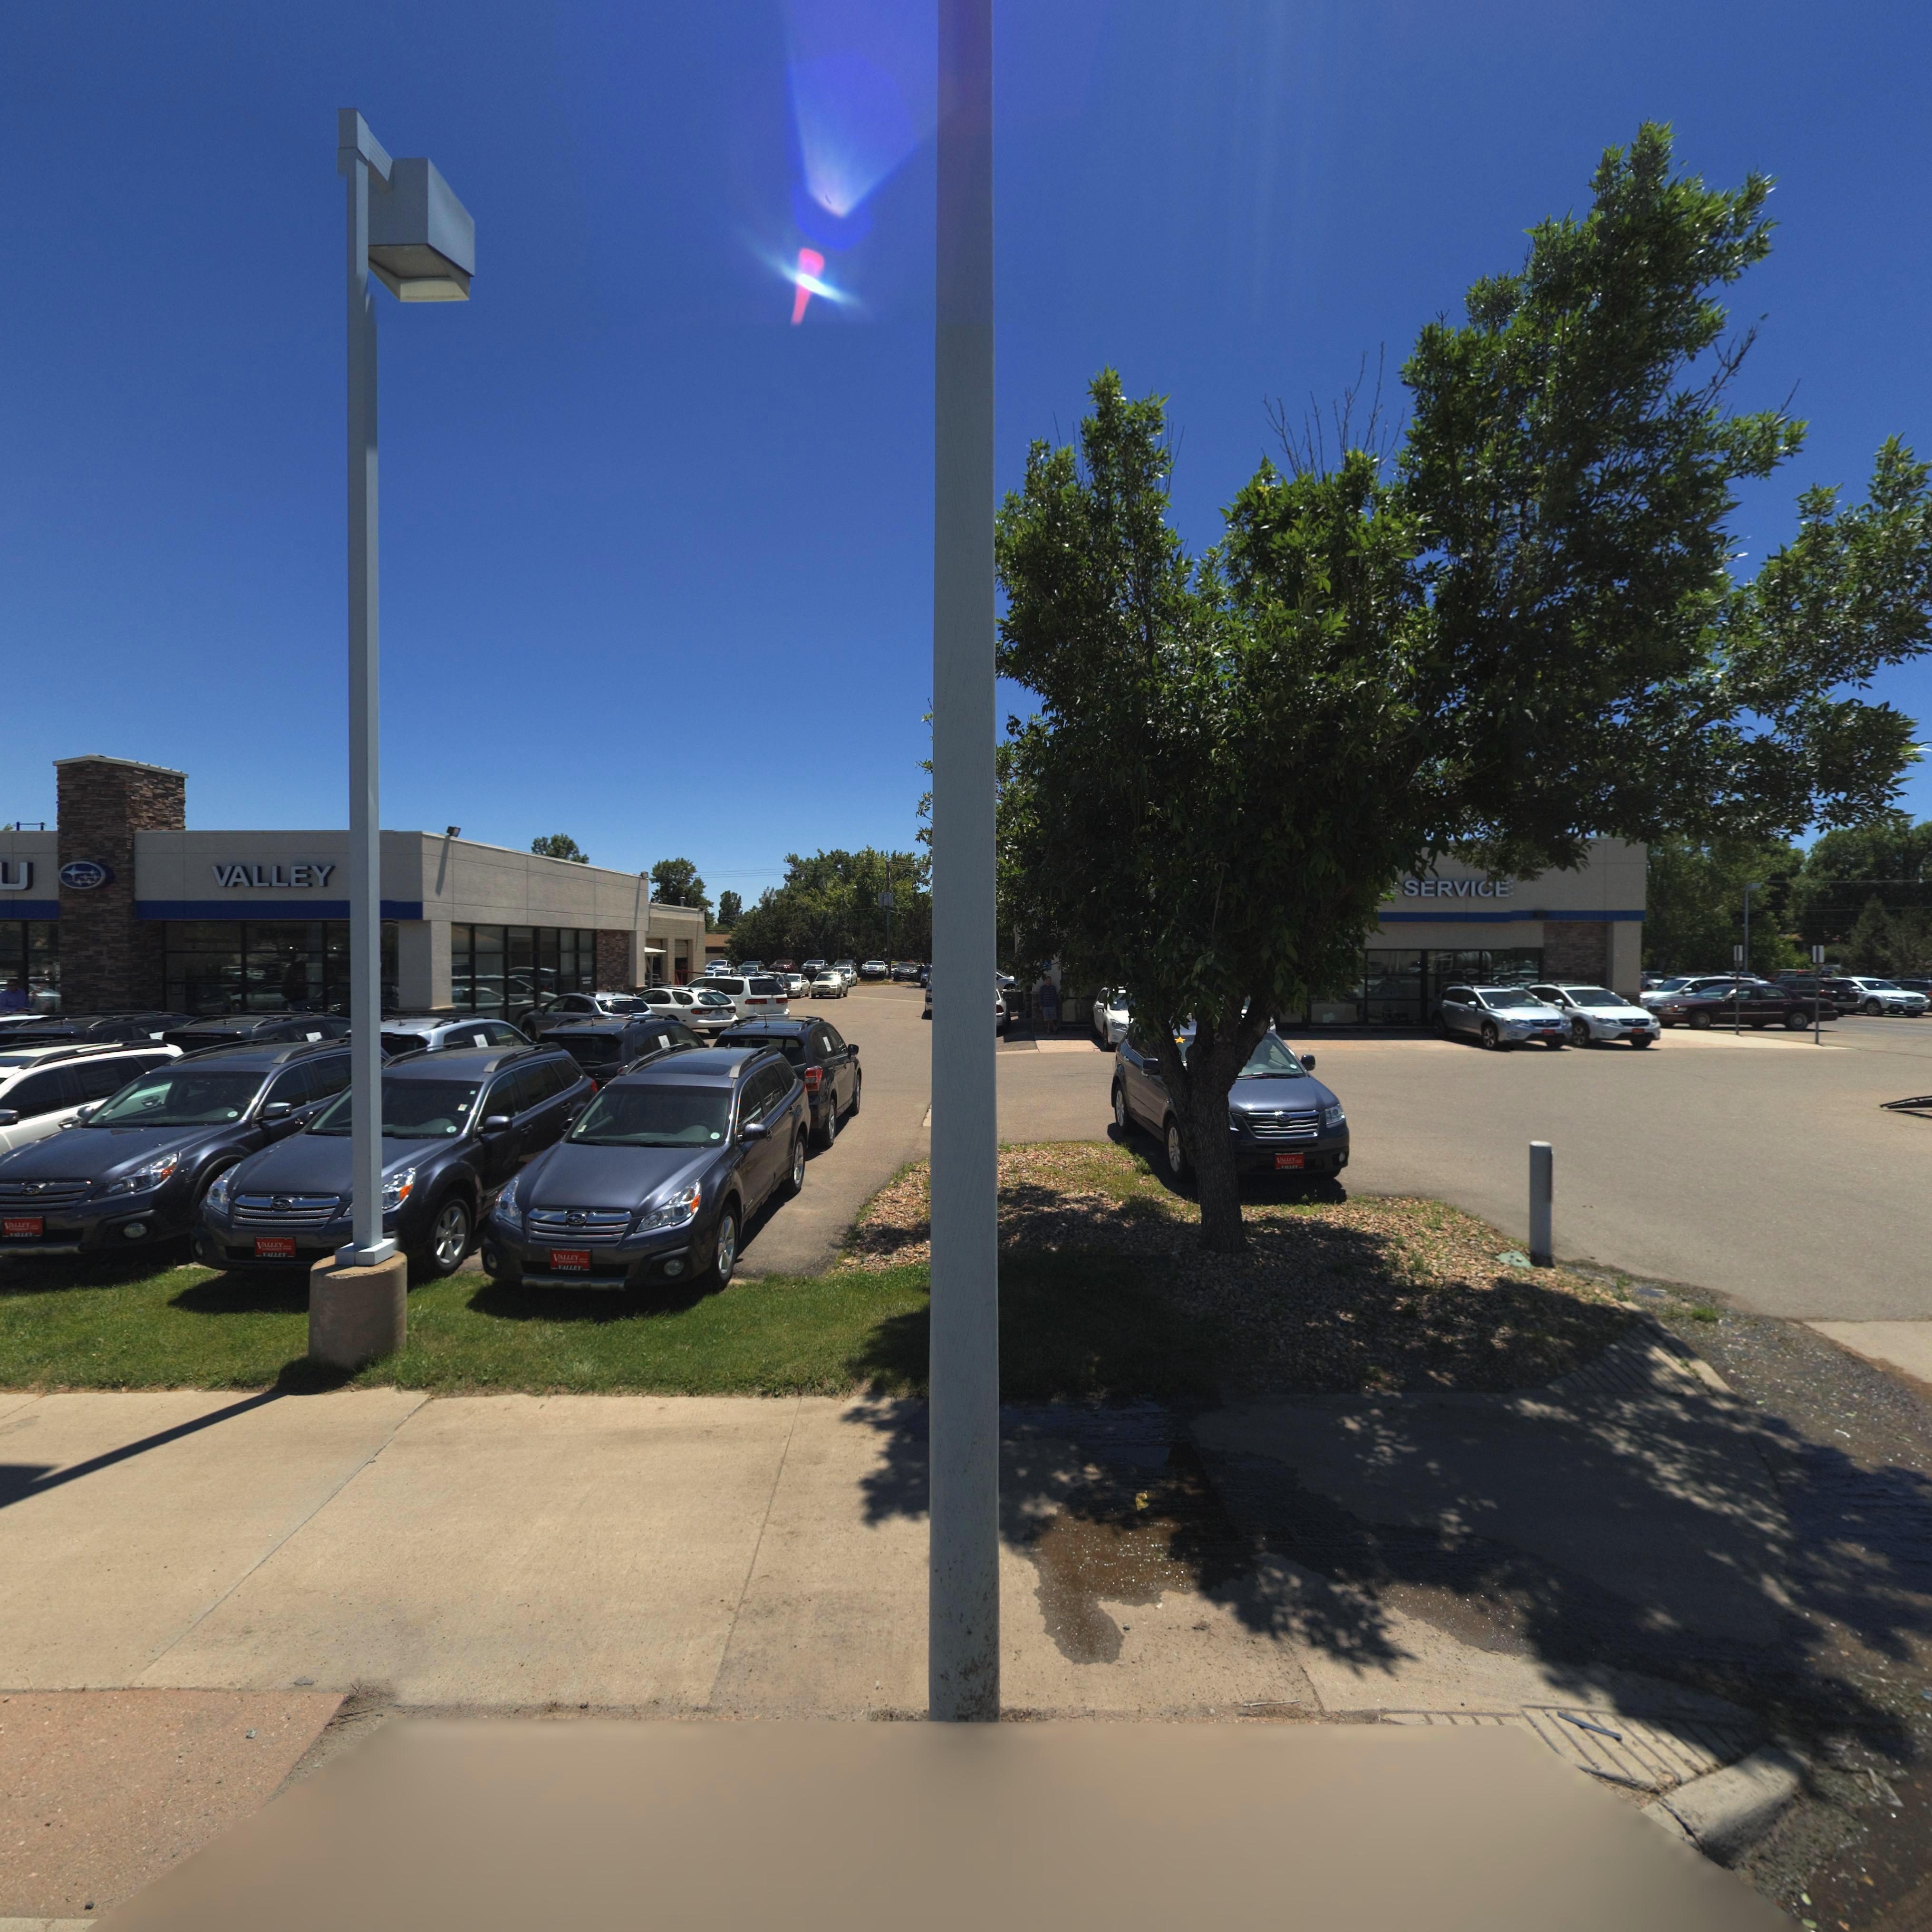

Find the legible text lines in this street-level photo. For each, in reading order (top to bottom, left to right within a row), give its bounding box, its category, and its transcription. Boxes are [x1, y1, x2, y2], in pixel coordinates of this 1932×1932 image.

[209, 865, 336, 887] BusinessName: VALLEY
[1403, 879, 1510, 897] BusinessName: SERVICE